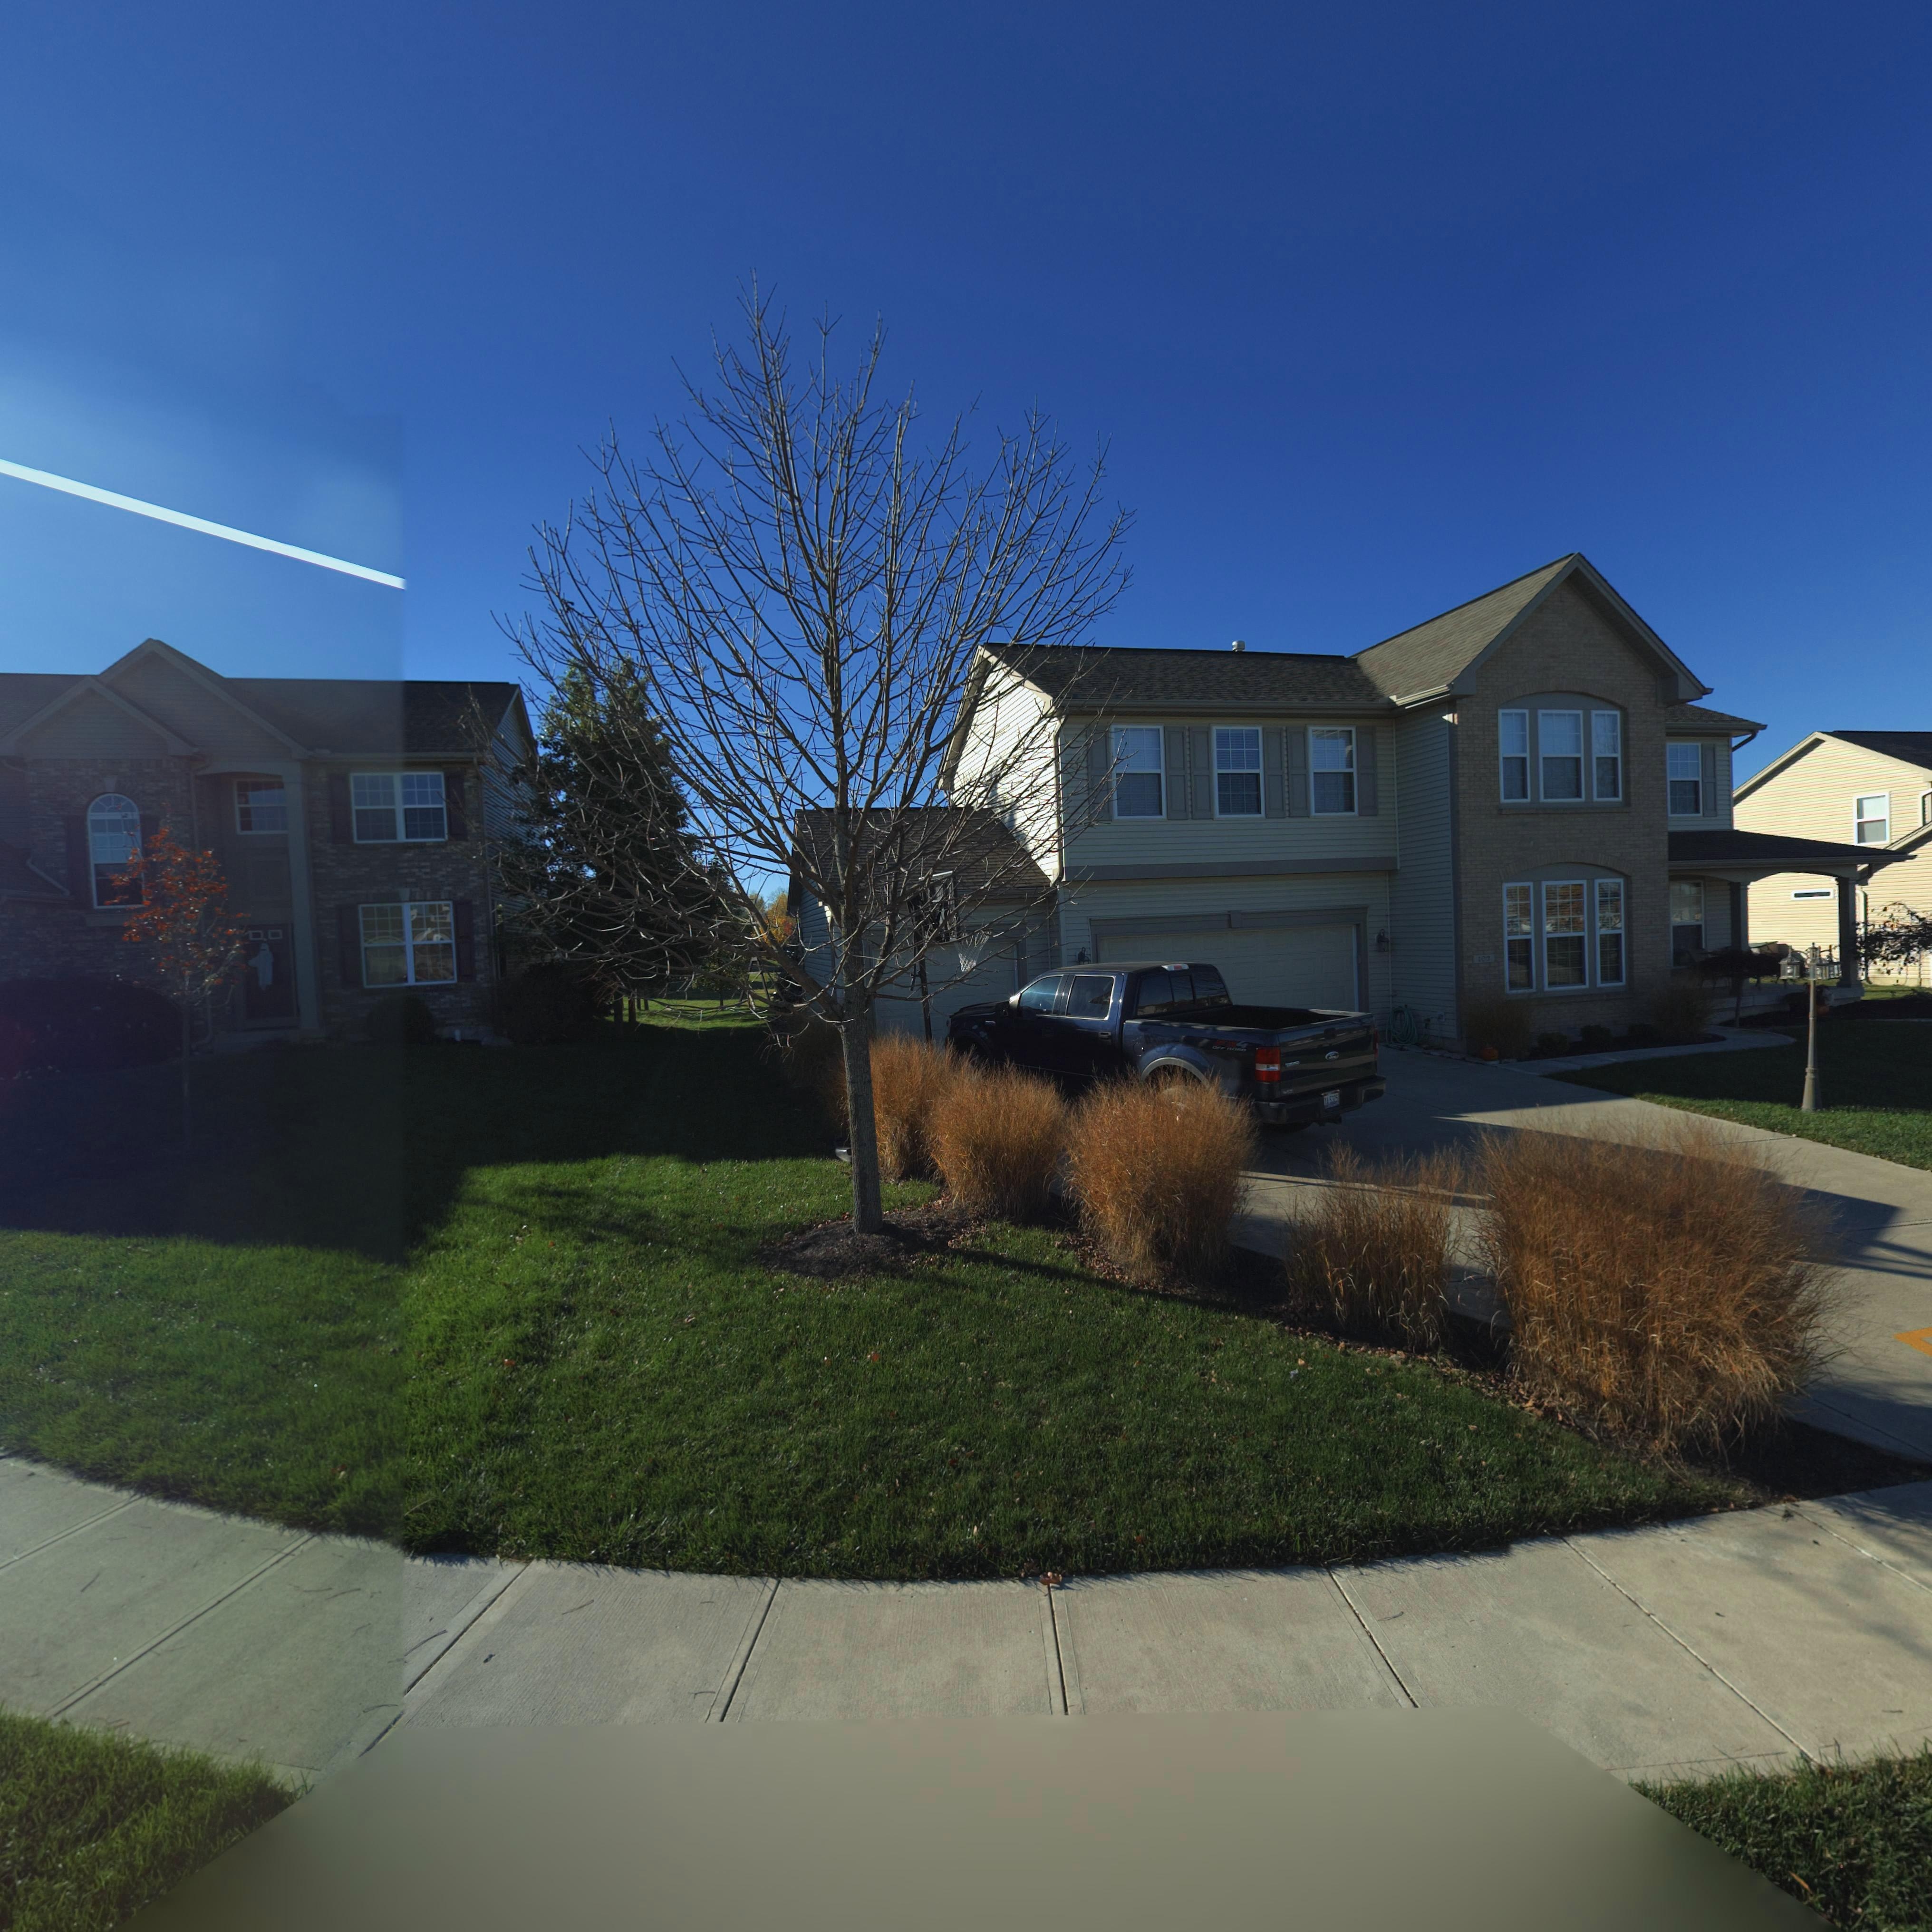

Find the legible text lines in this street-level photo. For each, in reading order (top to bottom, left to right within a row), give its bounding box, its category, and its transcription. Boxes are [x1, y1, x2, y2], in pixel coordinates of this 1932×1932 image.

[1477, 955, 1491, 963] StreetNumber: 103